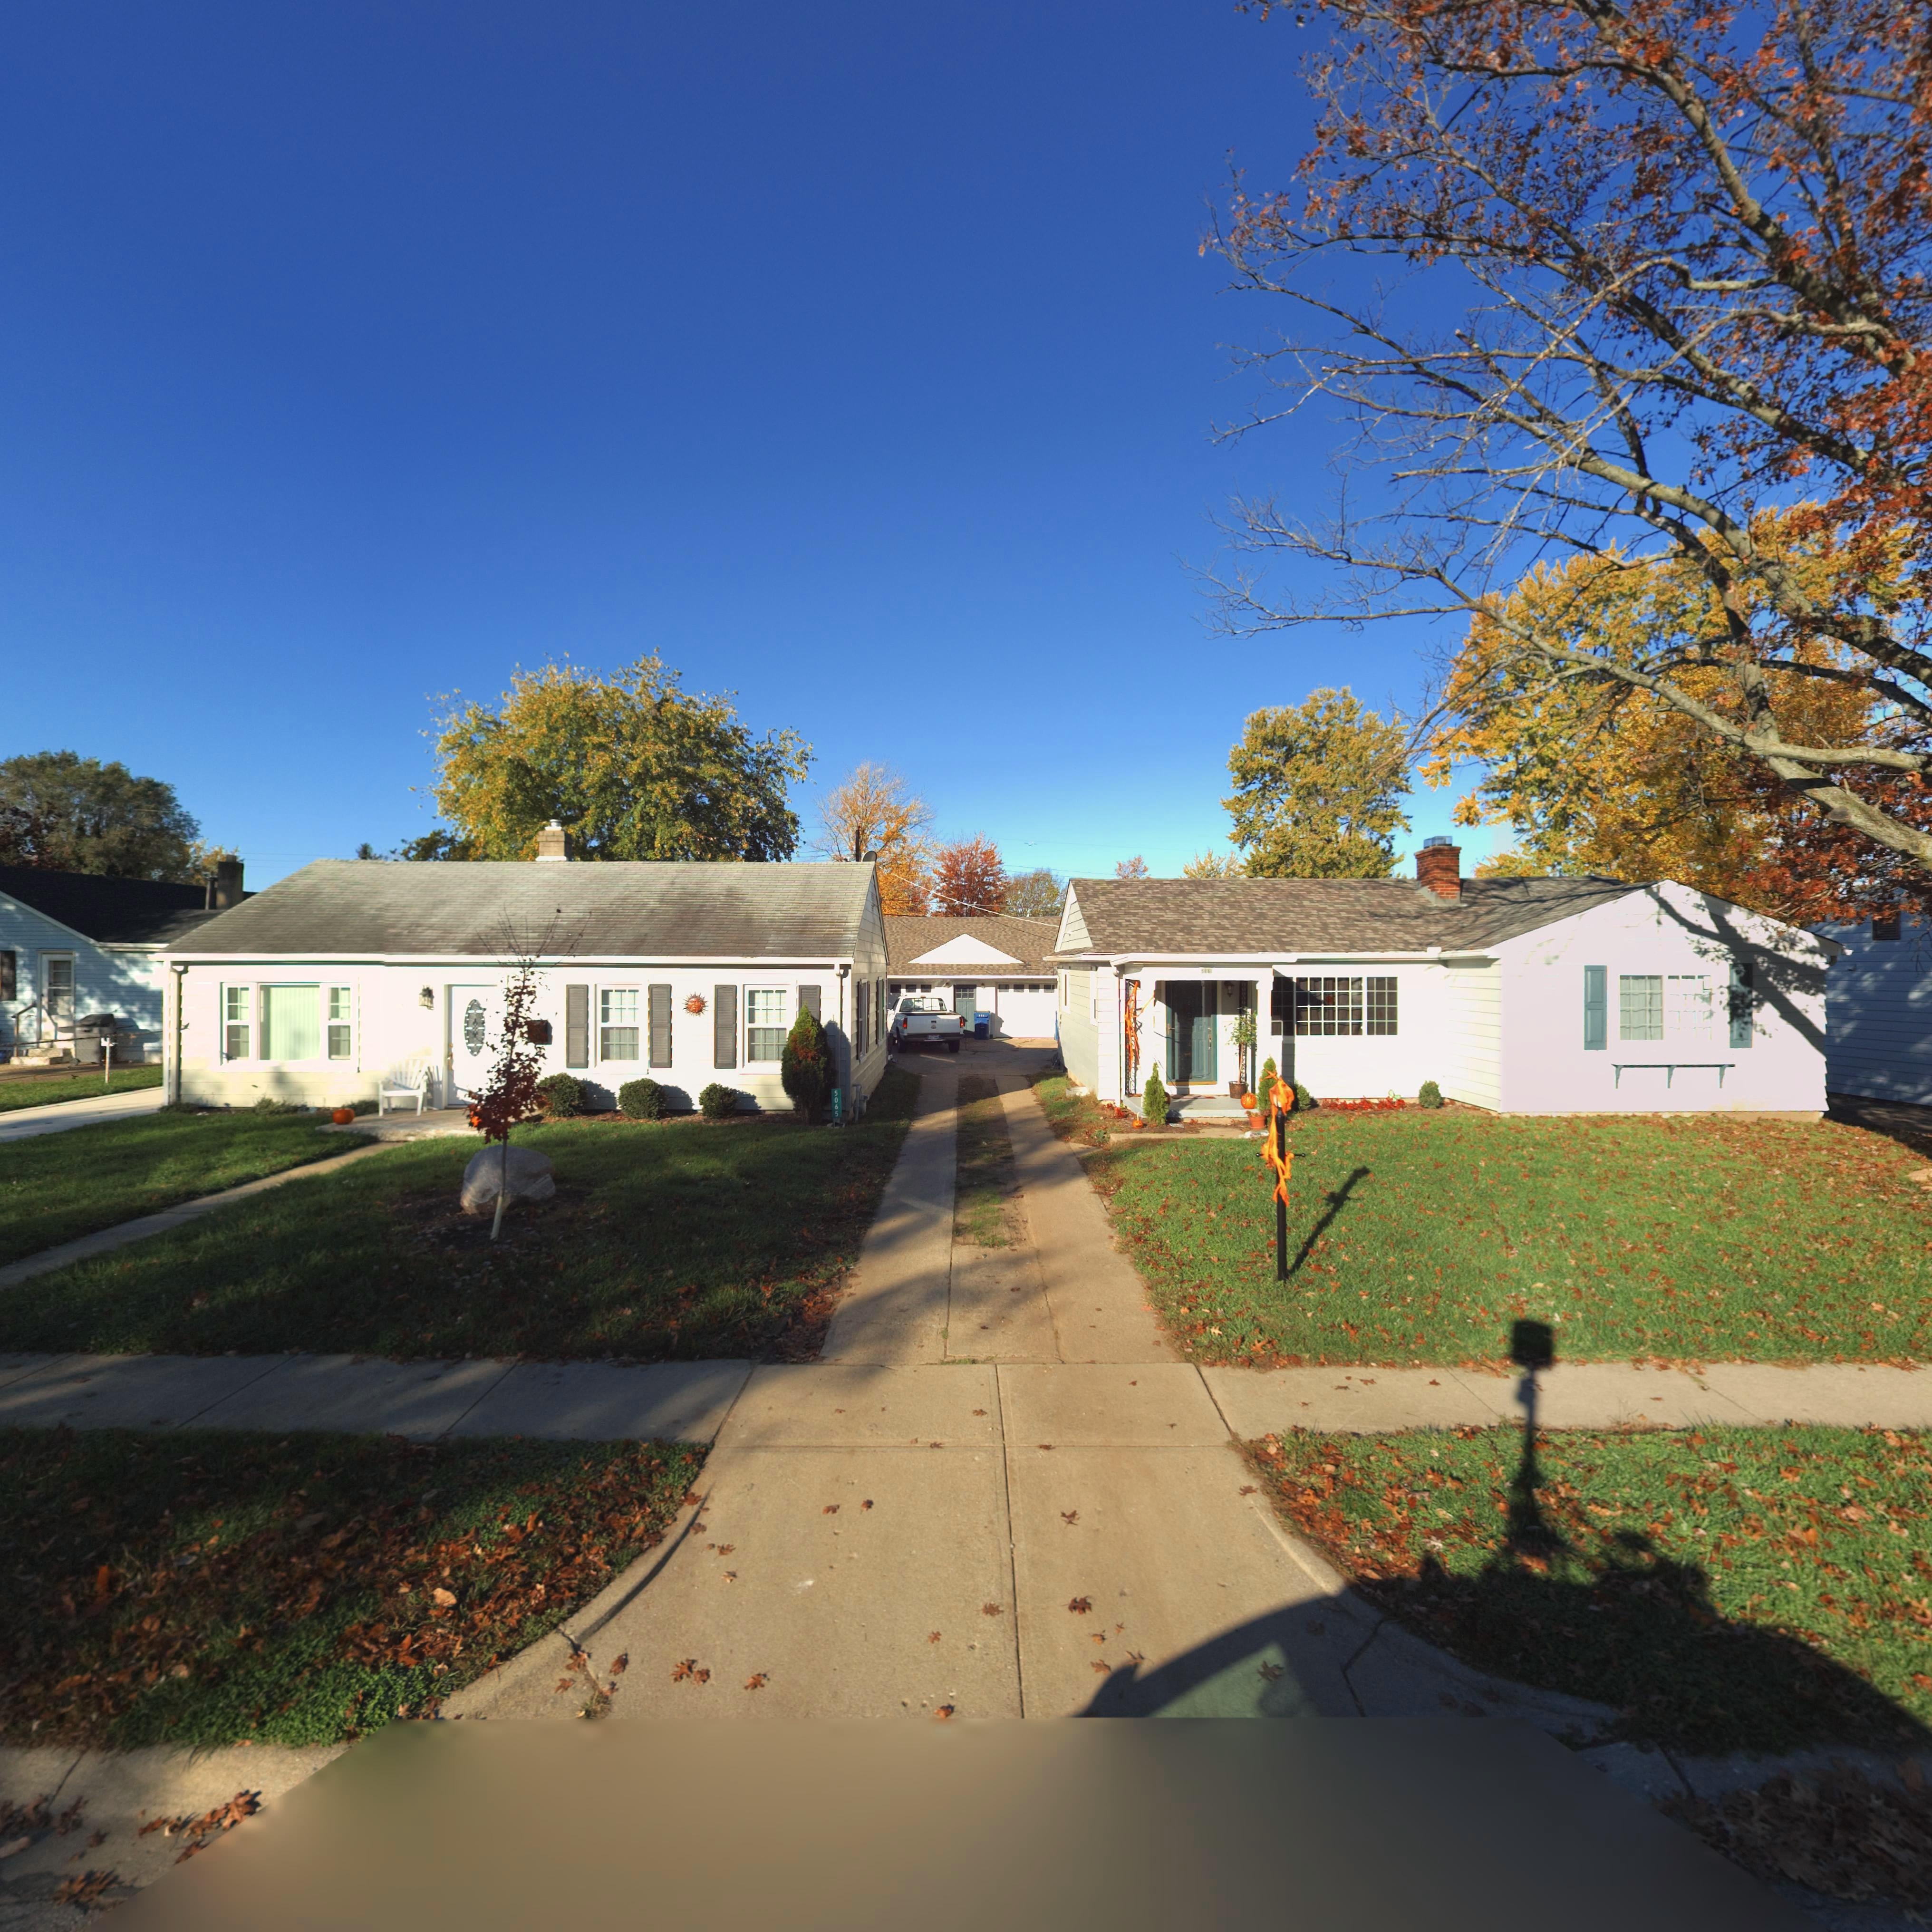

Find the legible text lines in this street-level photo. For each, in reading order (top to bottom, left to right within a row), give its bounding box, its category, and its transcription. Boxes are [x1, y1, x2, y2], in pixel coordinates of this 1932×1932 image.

[1201, 968, 1213, 974] StreetNumber: 50**
[834, 1090, 839, 1117] StreetNumber: 5065